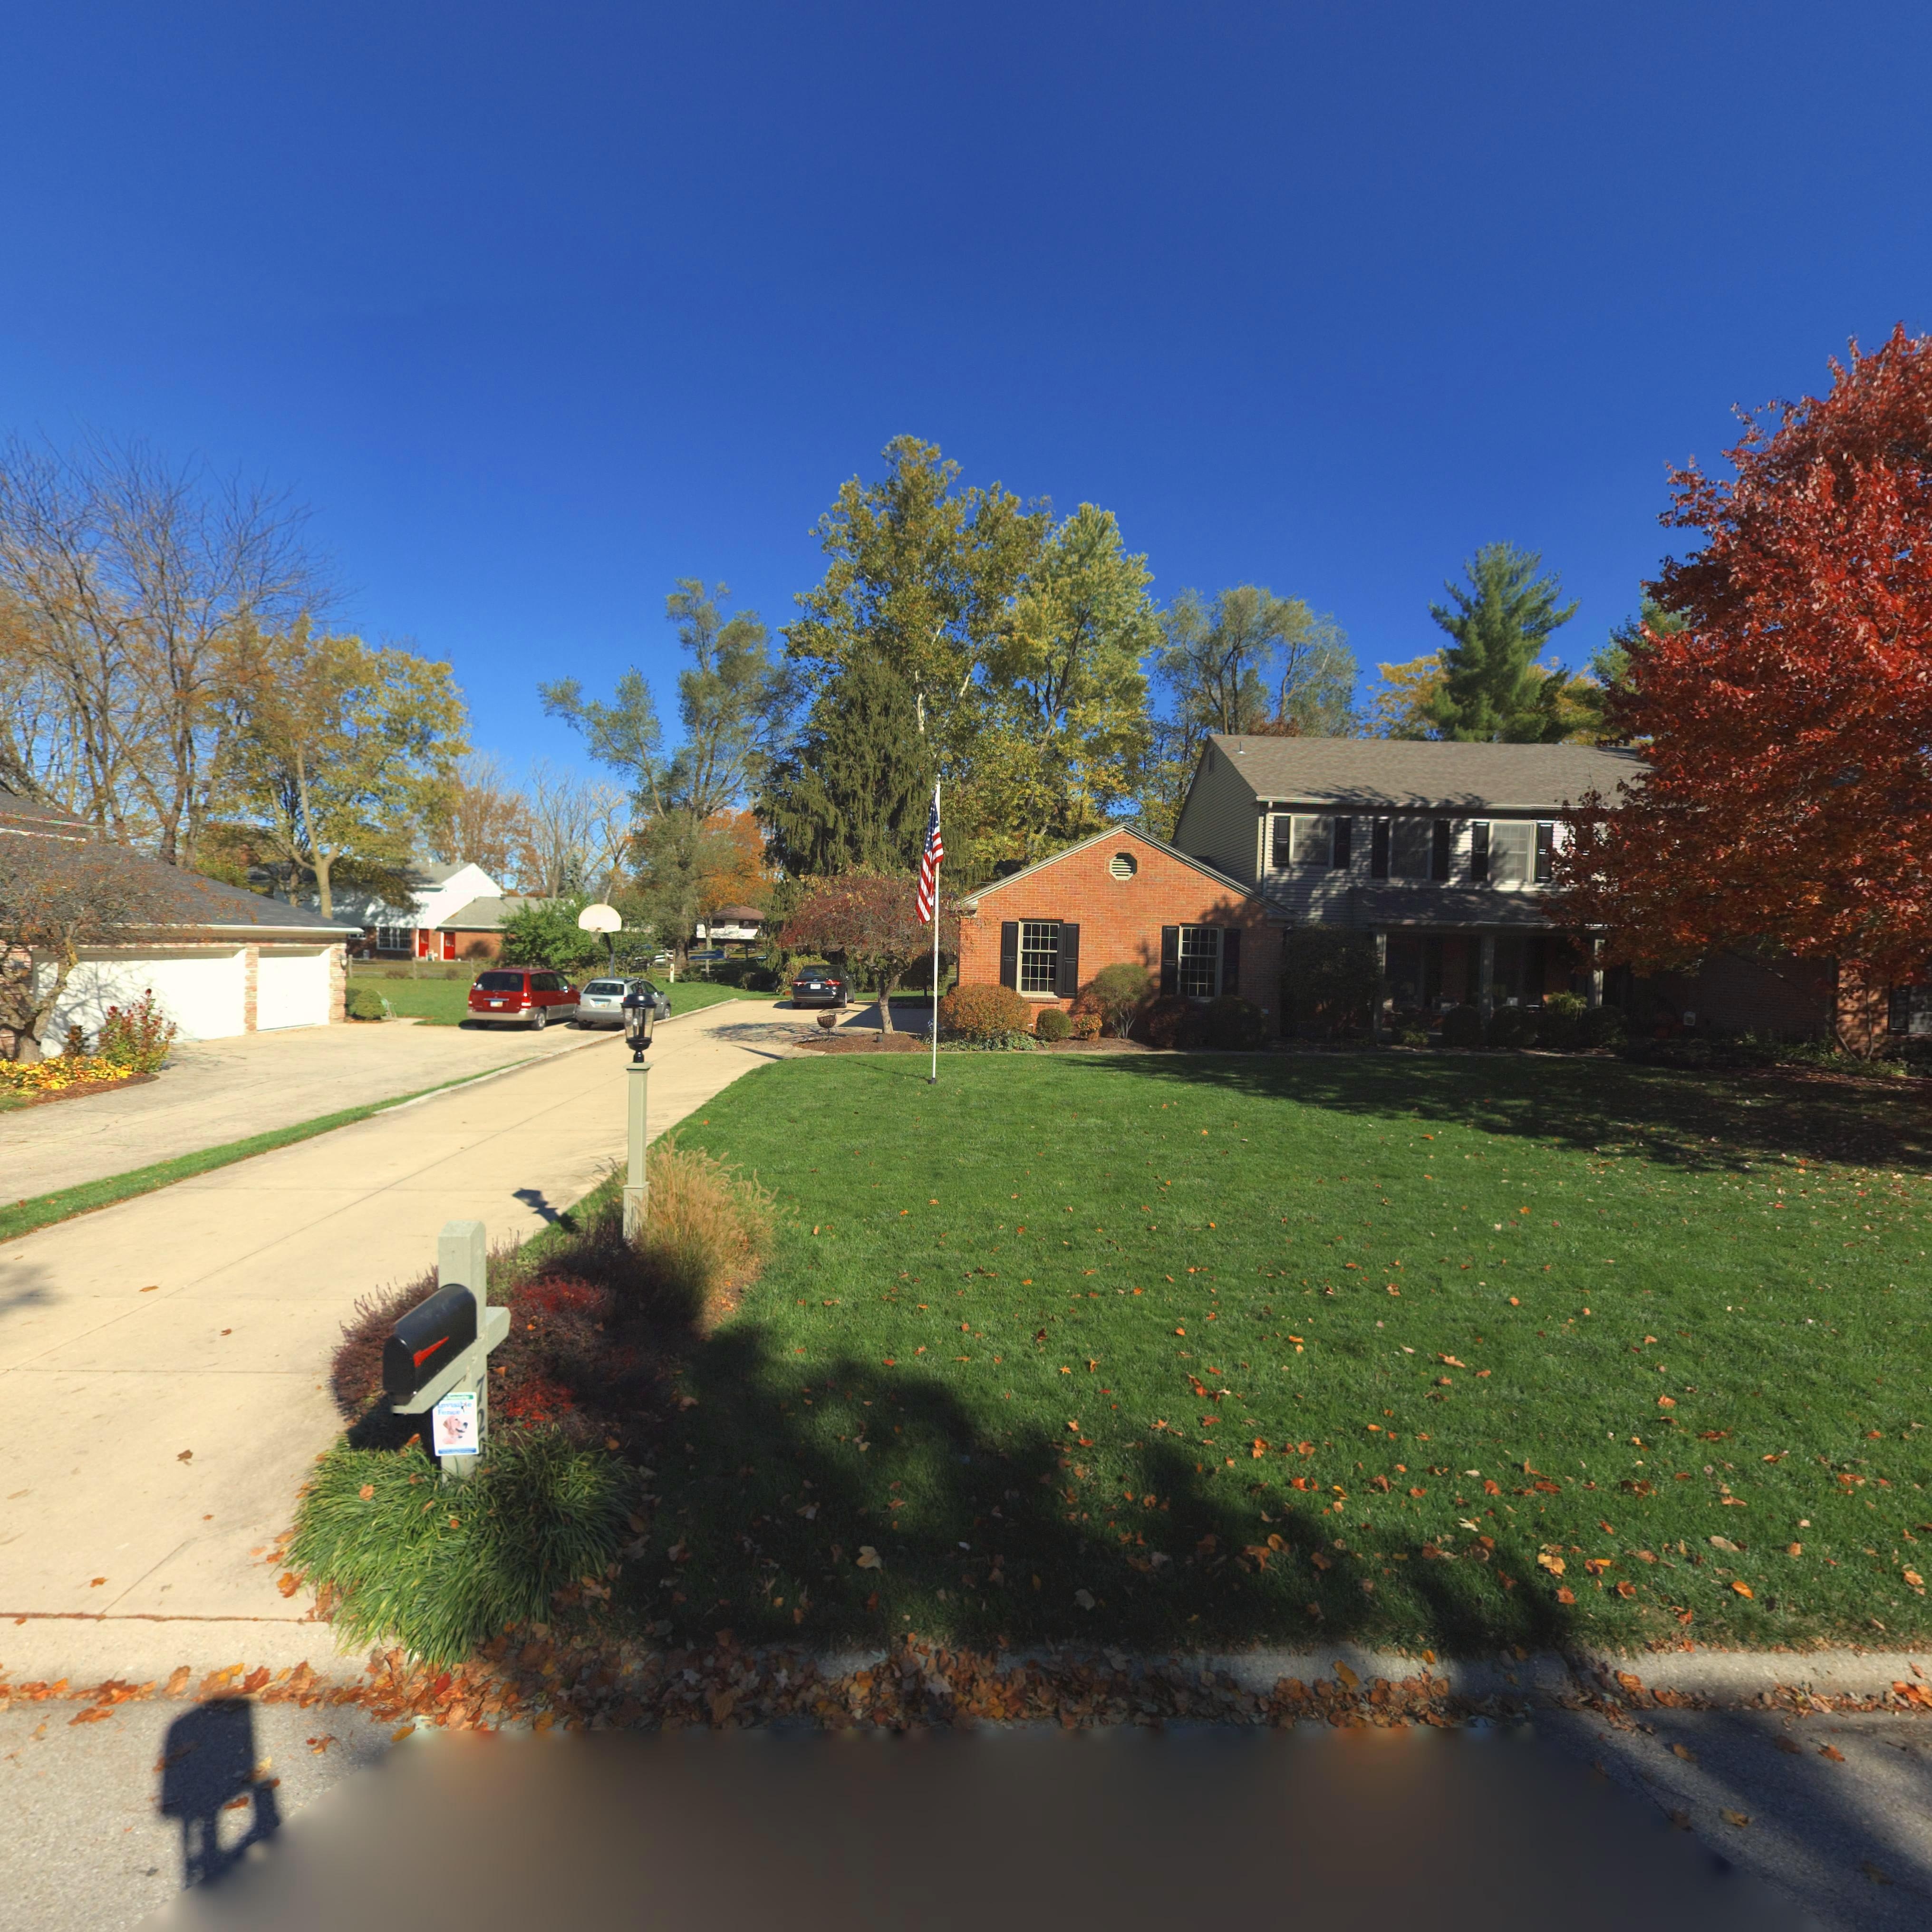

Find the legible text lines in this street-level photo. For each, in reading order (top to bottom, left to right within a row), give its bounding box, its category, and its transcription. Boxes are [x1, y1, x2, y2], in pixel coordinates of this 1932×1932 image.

[474, 1370, 489, 1470] StreetNumber: 729